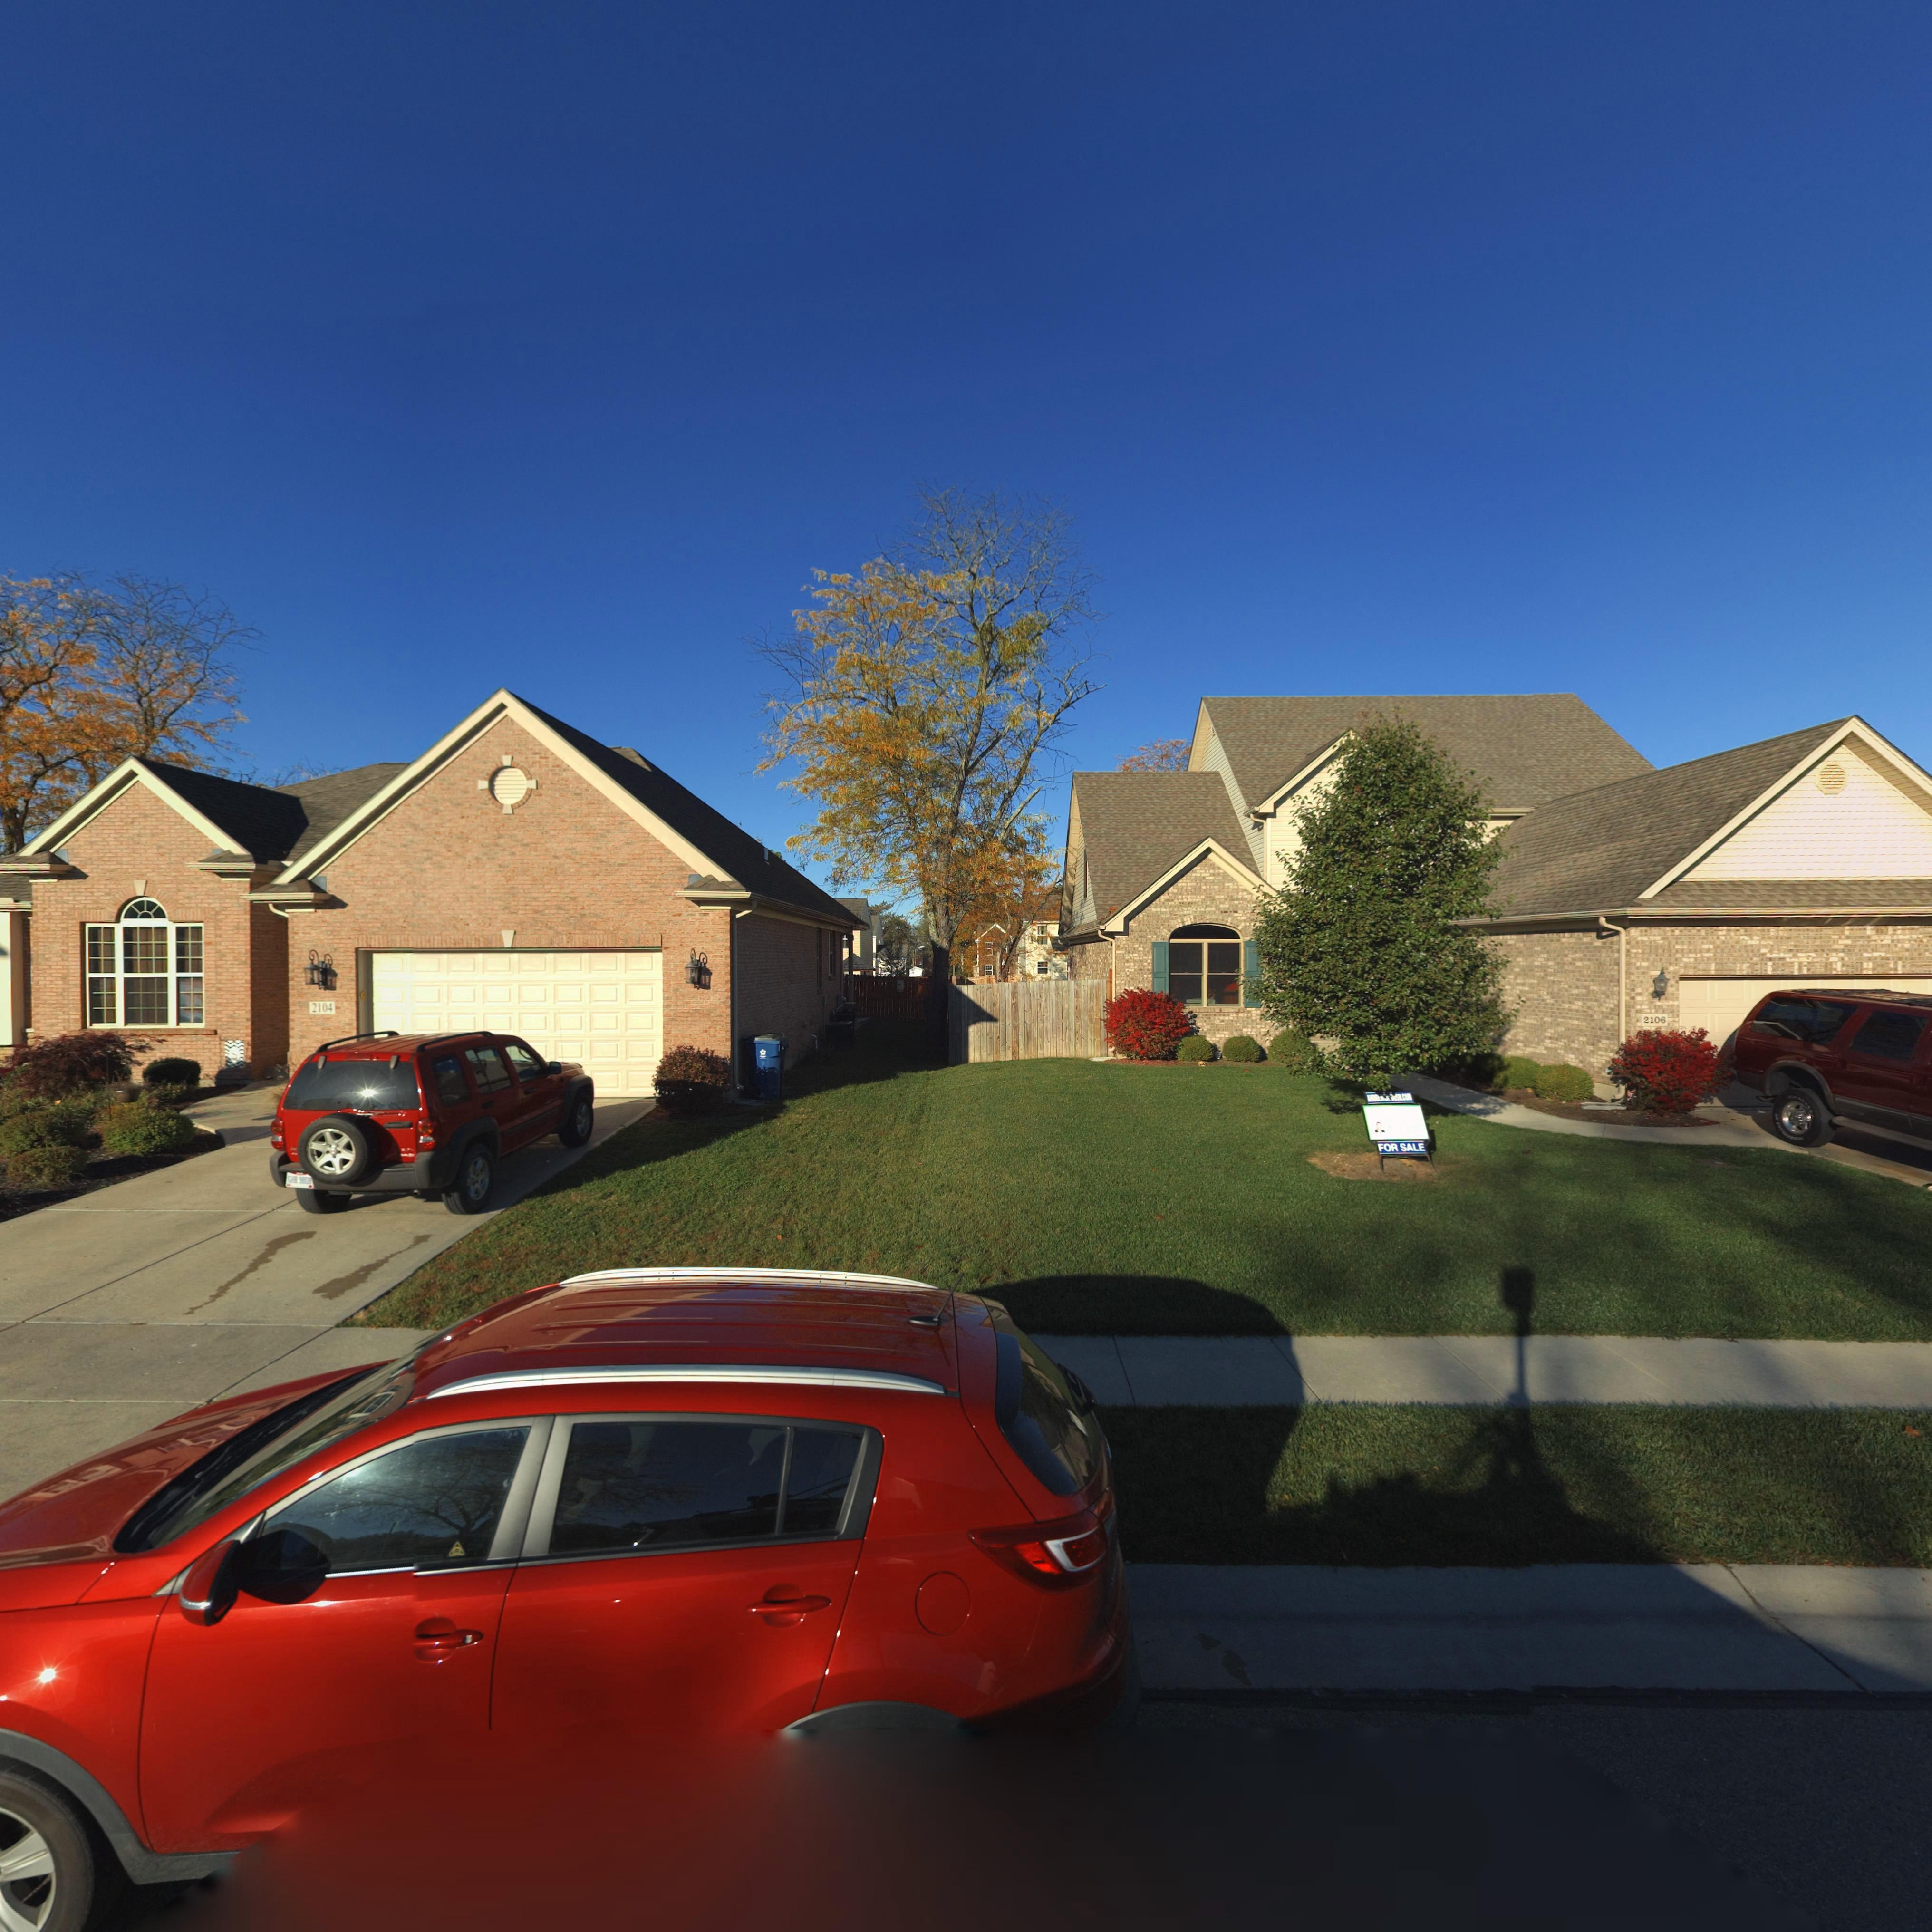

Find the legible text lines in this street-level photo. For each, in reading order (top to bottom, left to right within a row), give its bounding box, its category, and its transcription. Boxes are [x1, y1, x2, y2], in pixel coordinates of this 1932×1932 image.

[311, 1002, 333, 1013] StreetNumber: 2104
[1643, 1016, 1666, 1024] StreetNumber: 2106